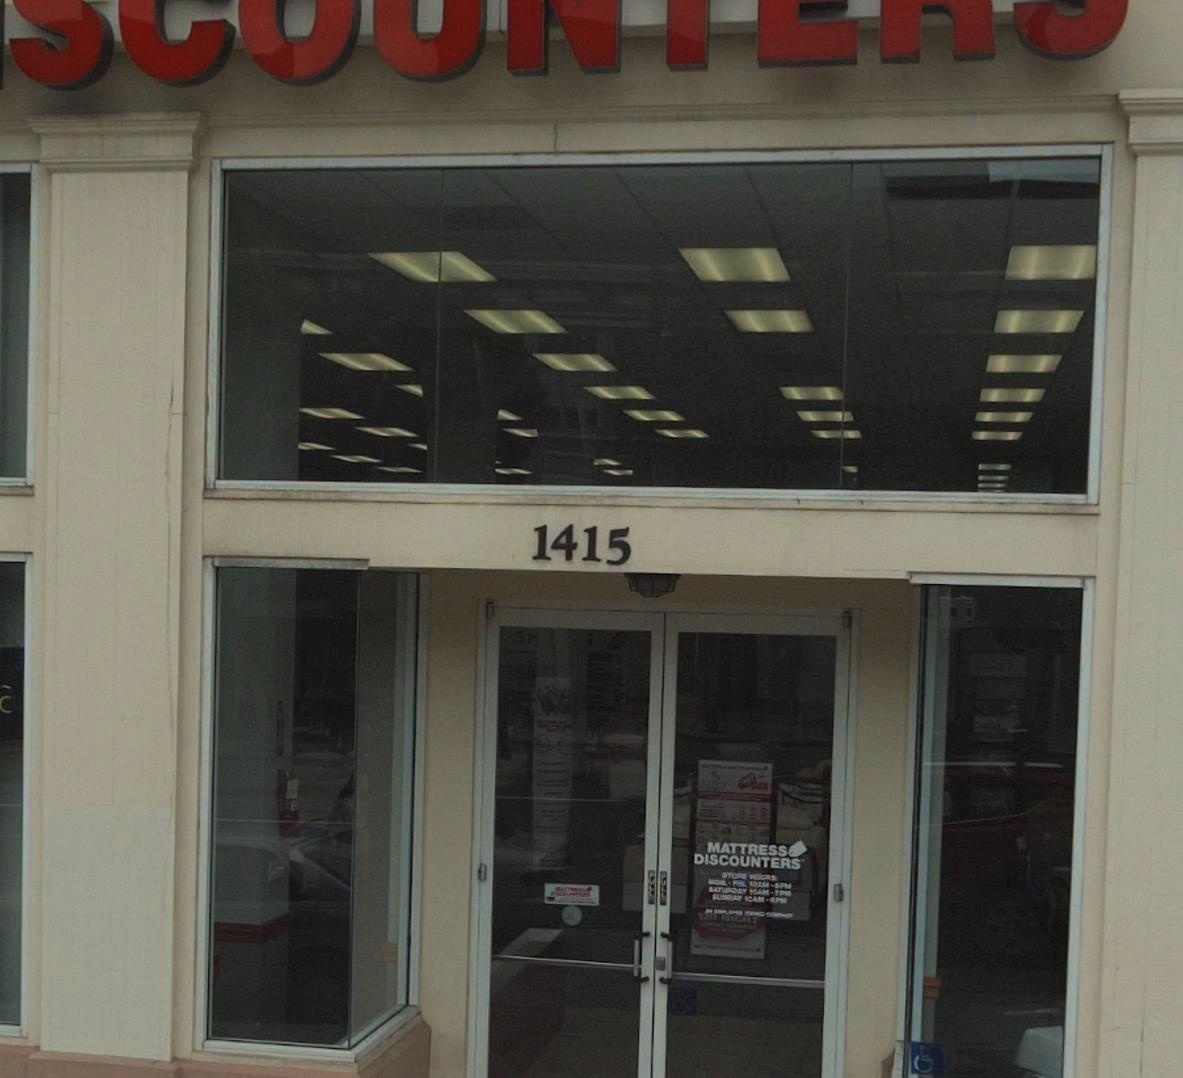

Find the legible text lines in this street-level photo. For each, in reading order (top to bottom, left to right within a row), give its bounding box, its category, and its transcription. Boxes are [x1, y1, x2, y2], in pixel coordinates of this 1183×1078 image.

[531, 522, 633, 566] StreetNumber: 1415
[692, 852, 802, 871] None: DISCOUNTERS
[707, 840, 788, 857] None: MATTRESS
[647, 871, 656, 898] None: PULL
[659, 871, 668, 901] None: PULL
[702, 911, 760, 925] None: 20 NIGHT